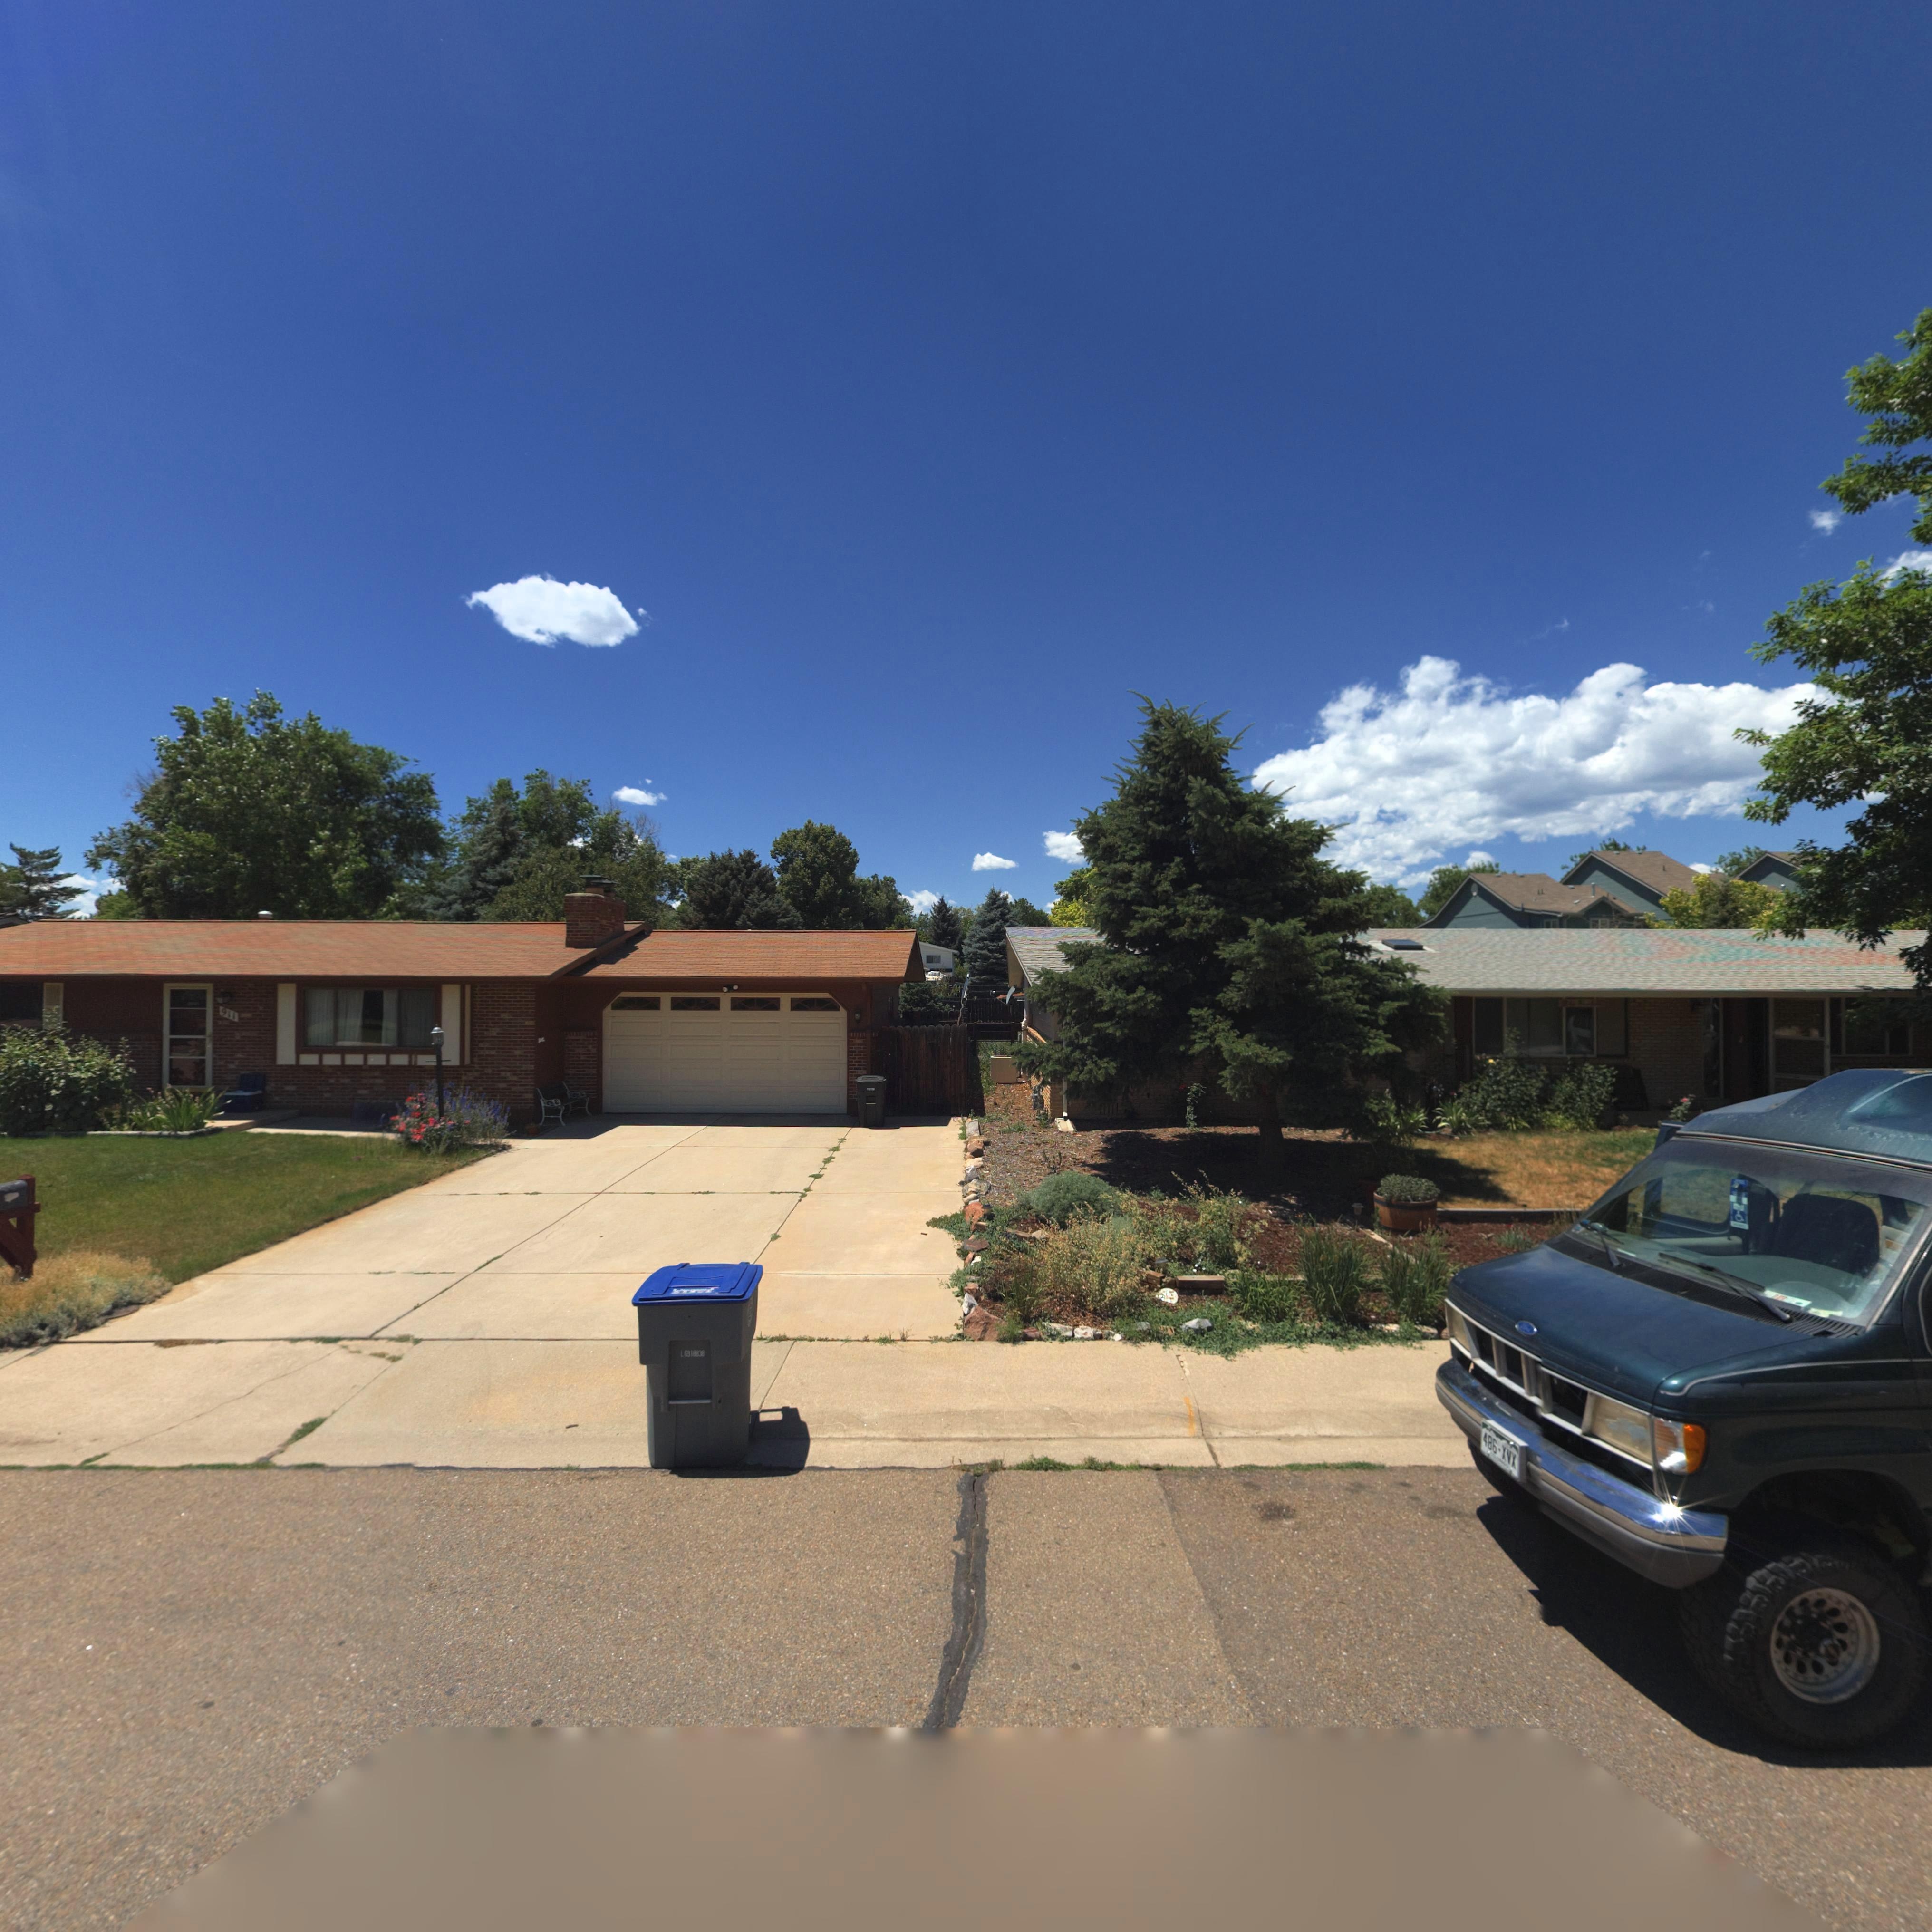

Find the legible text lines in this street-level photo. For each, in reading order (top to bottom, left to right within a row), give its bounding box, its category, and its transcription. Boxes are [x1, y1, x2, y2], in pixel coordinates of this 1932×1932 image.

[221, 1007, 236, 1021] StreetNumber: 911